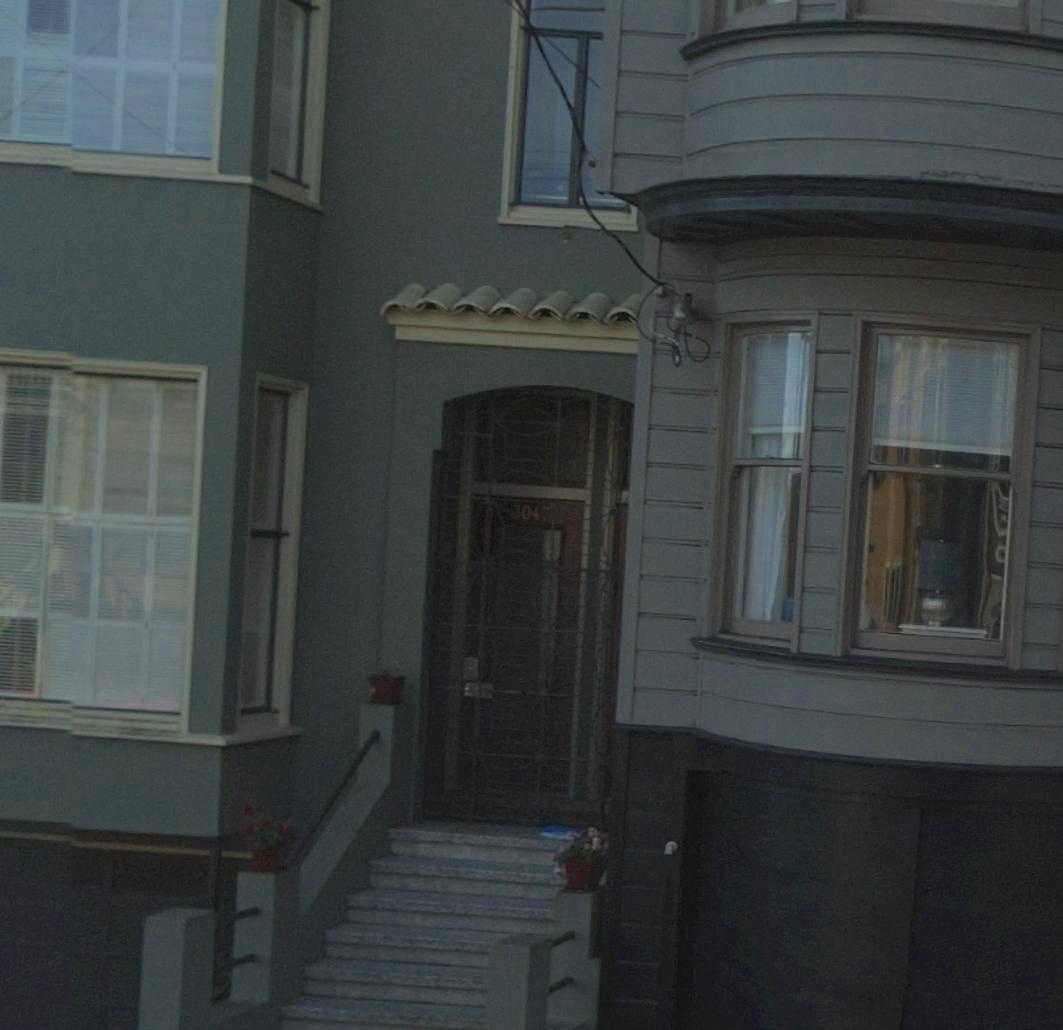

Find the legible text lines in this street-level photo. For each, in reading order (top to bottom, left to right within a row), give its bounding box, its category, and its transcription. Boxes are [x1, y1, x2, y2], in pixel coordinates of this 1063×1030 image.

[508, 501, 555, 525] StreetNumber: 3047